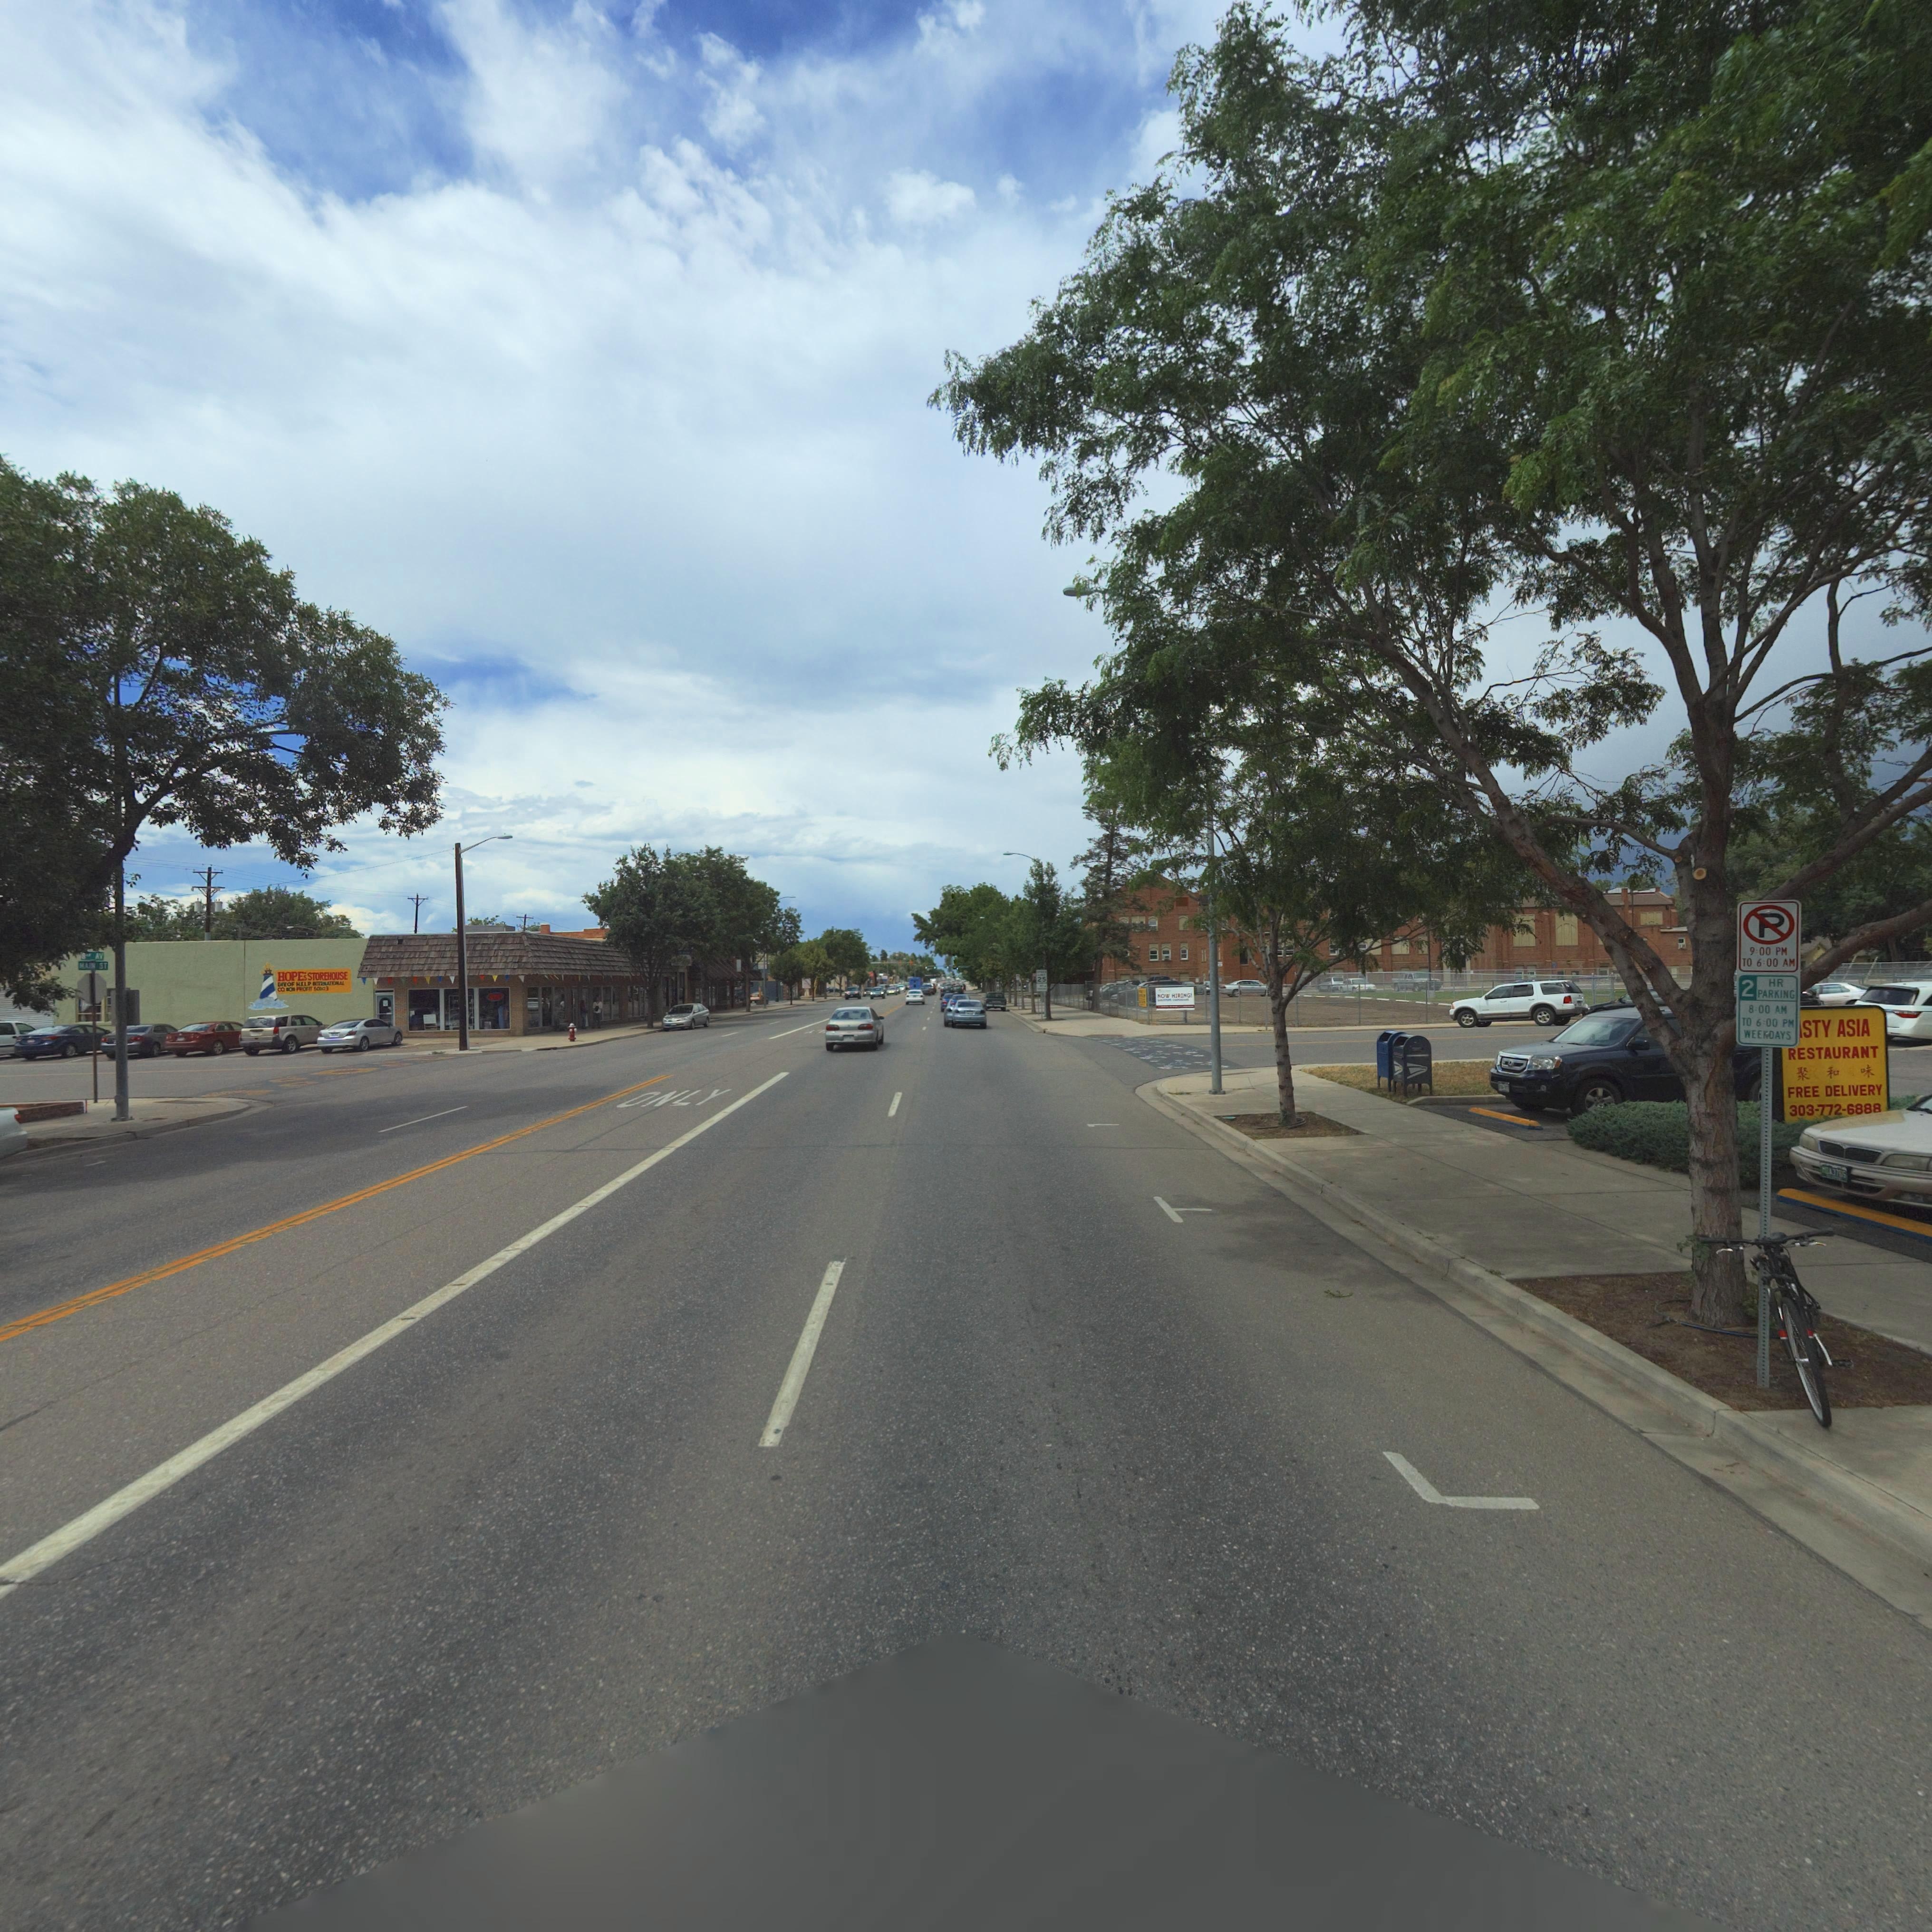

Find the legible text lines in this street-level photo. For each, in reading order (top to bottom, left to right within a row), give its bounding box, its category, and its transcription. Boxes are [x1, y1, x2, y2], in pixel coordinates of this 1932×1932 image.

[81, 953, 103, 959] StreetName: 8TH AV
[79, 962, 107, 968] StreetName: MAIN ST
[278, 971, 348, 981] BusinessName: HOPE's STOREHOUSE
[1802, 1018, 1870, 1038] BusinessName: STY ASIA
[1788, 1045, 1879, 1060] BusinessName: RESTAURANT